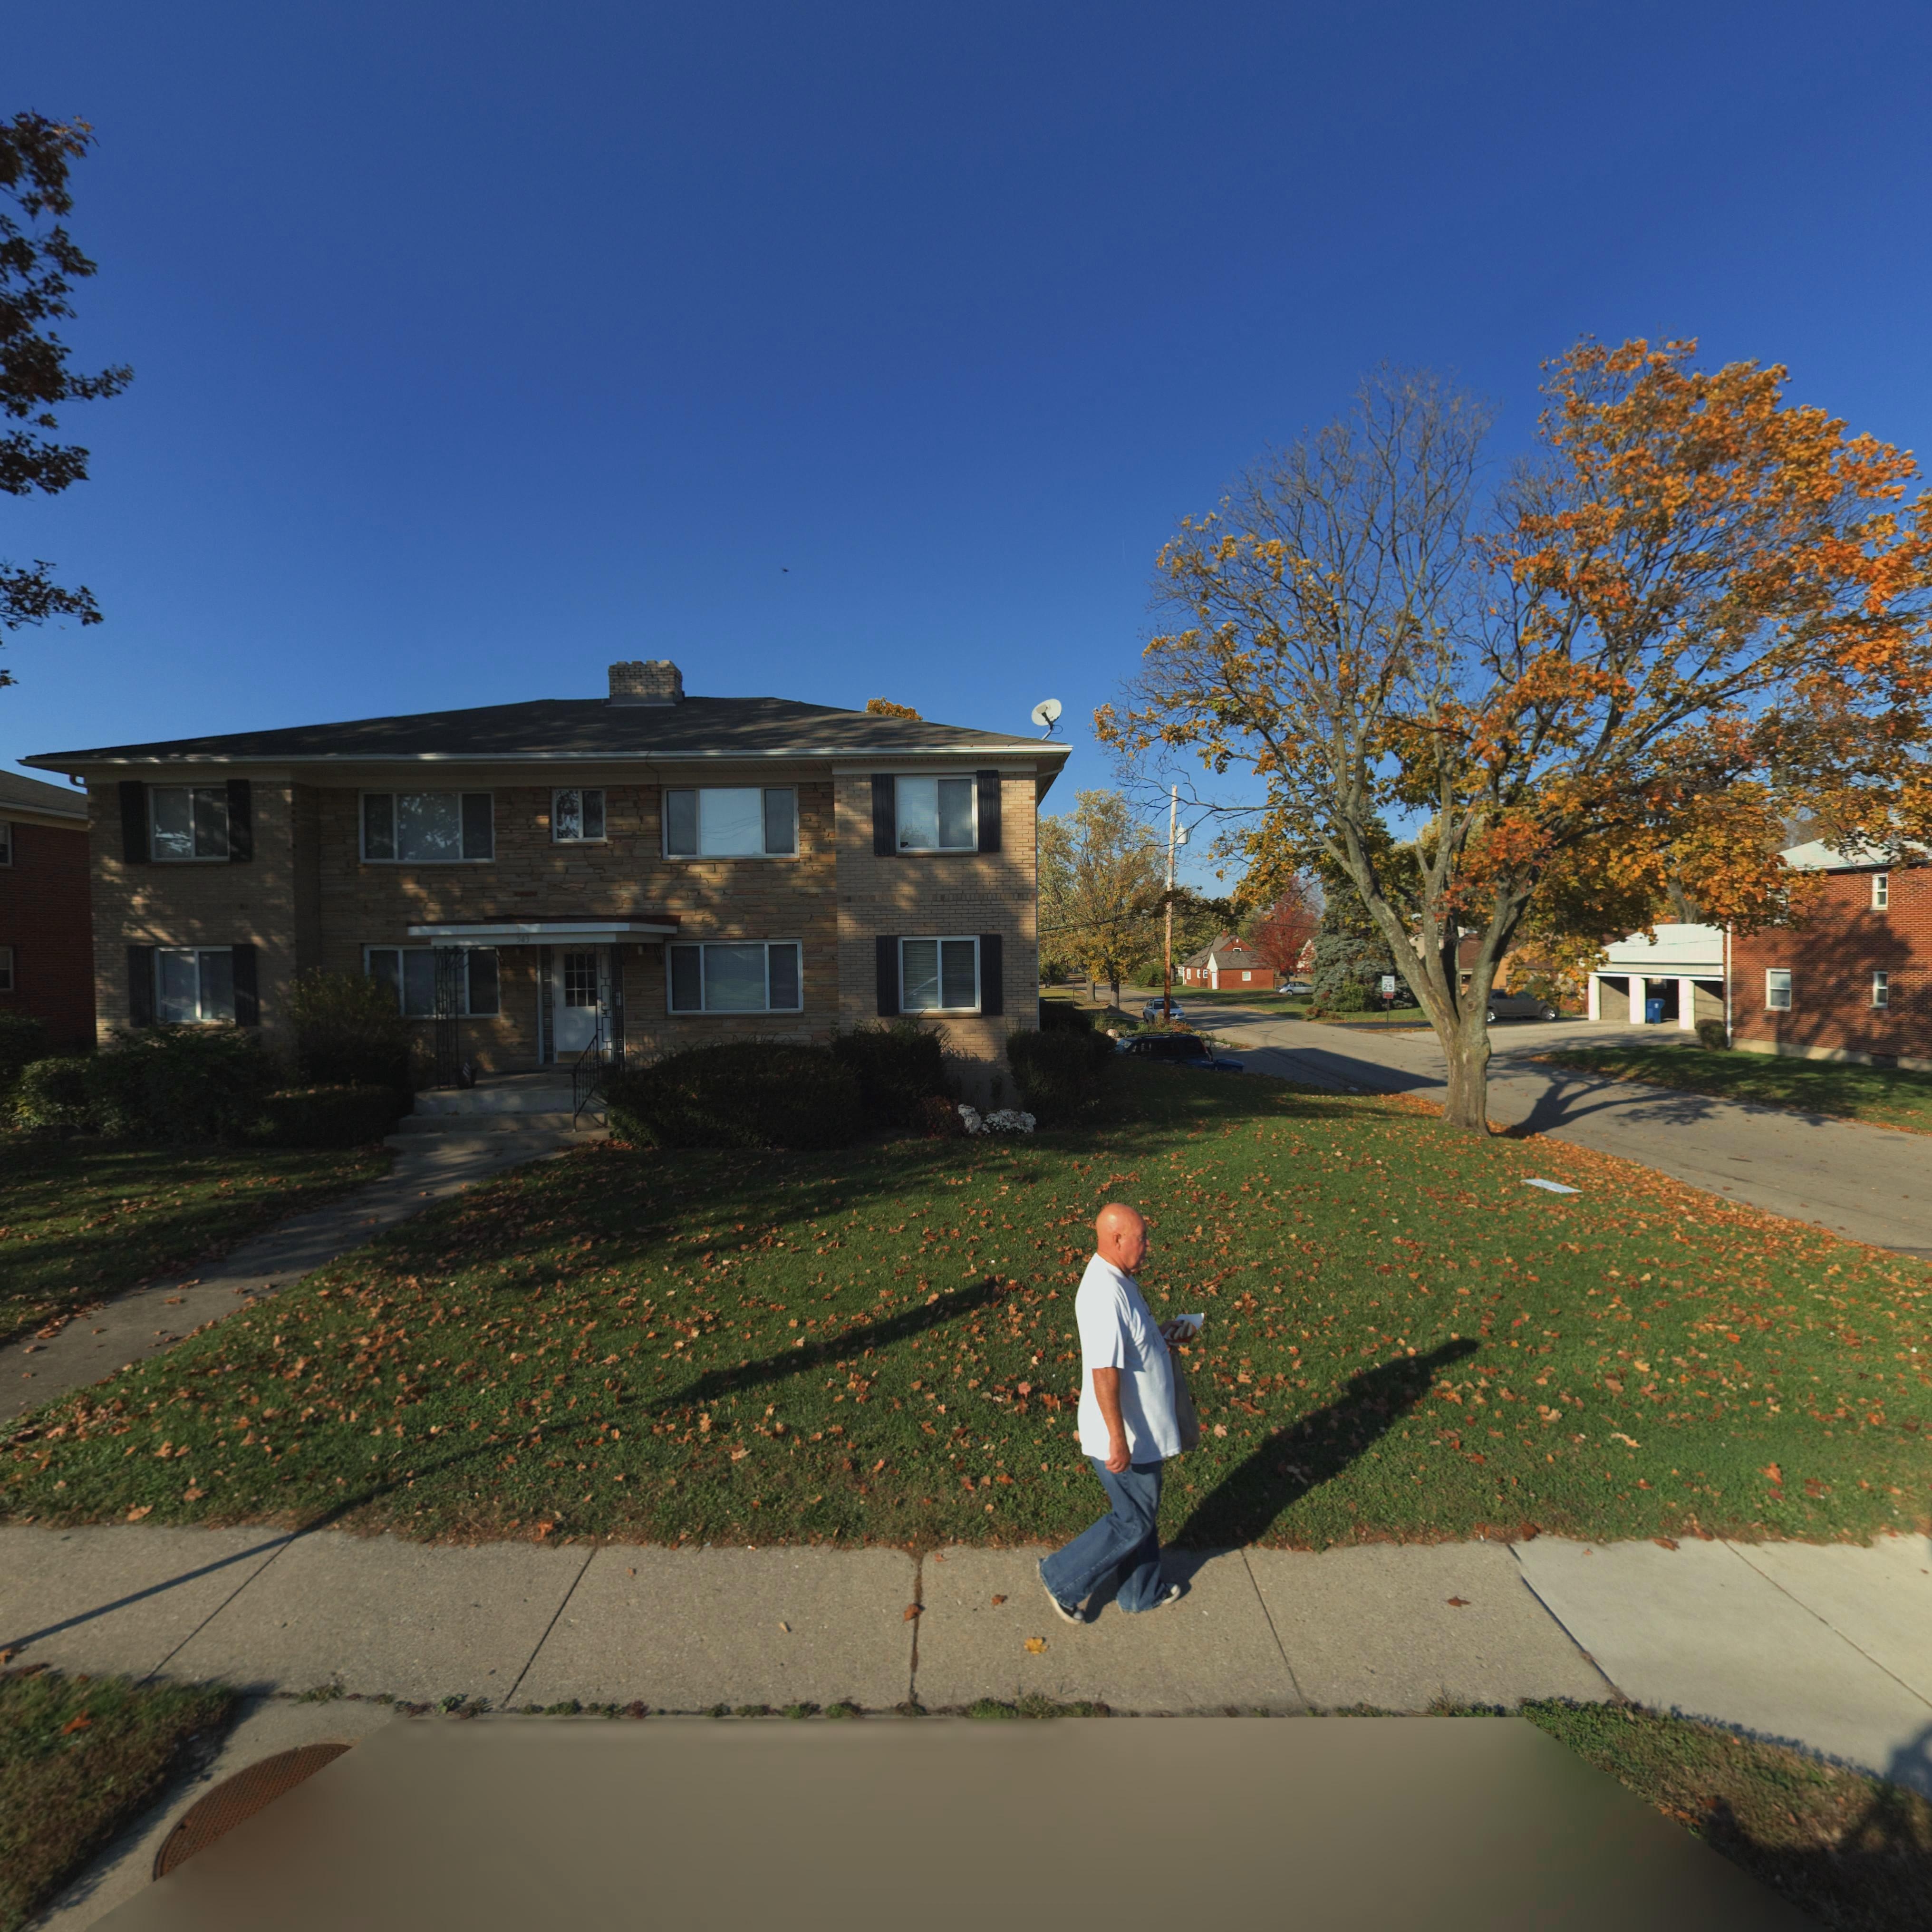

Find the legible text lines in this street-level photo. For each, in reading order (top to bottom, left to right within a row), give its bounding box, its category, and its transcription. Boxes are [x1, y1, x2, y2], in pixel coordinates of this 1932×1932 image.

[516, 934, 530, 943] StreetNumber: 543